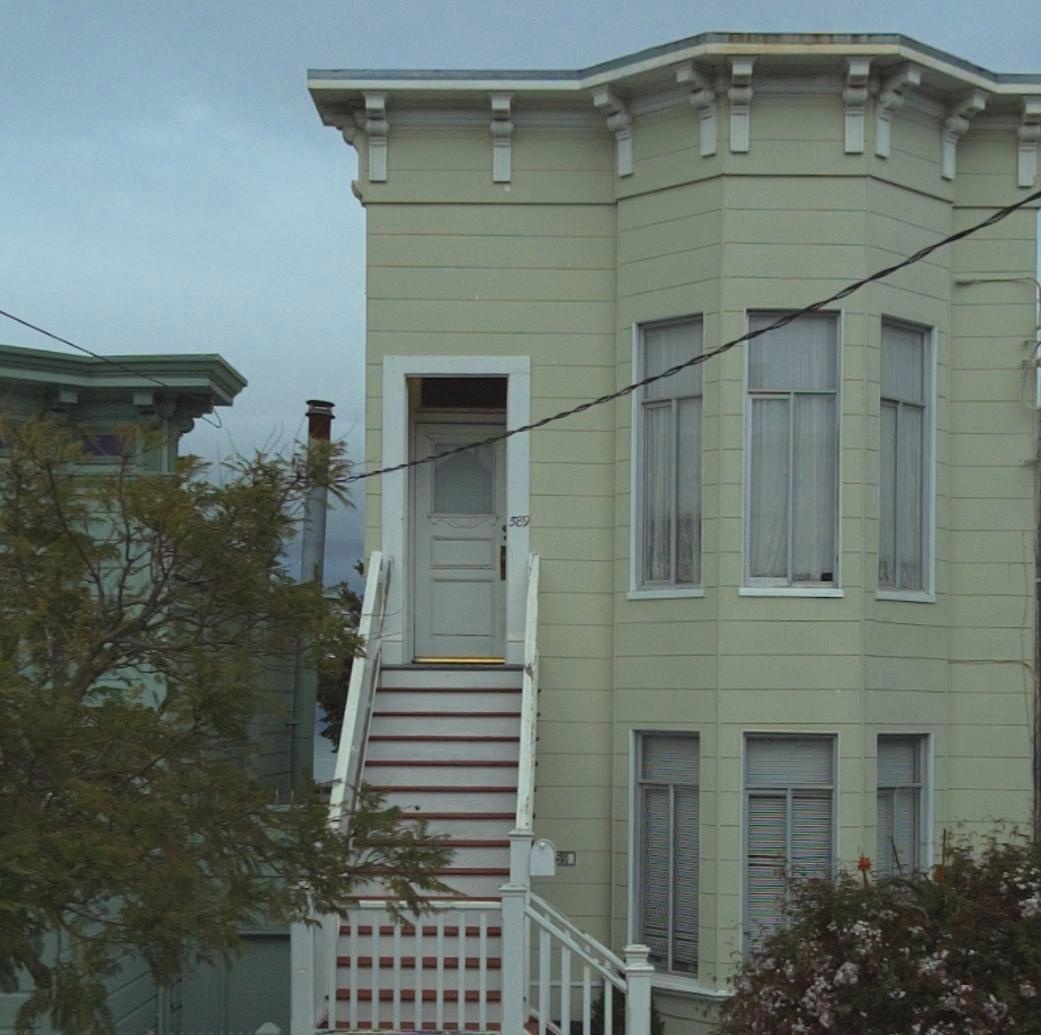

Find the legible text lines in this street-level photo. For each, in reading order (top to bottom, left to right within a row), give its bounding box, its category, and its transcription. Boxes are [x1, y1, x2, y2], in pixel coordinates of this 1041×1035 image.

[508, 515, 530, 528] StreetNumber: 589